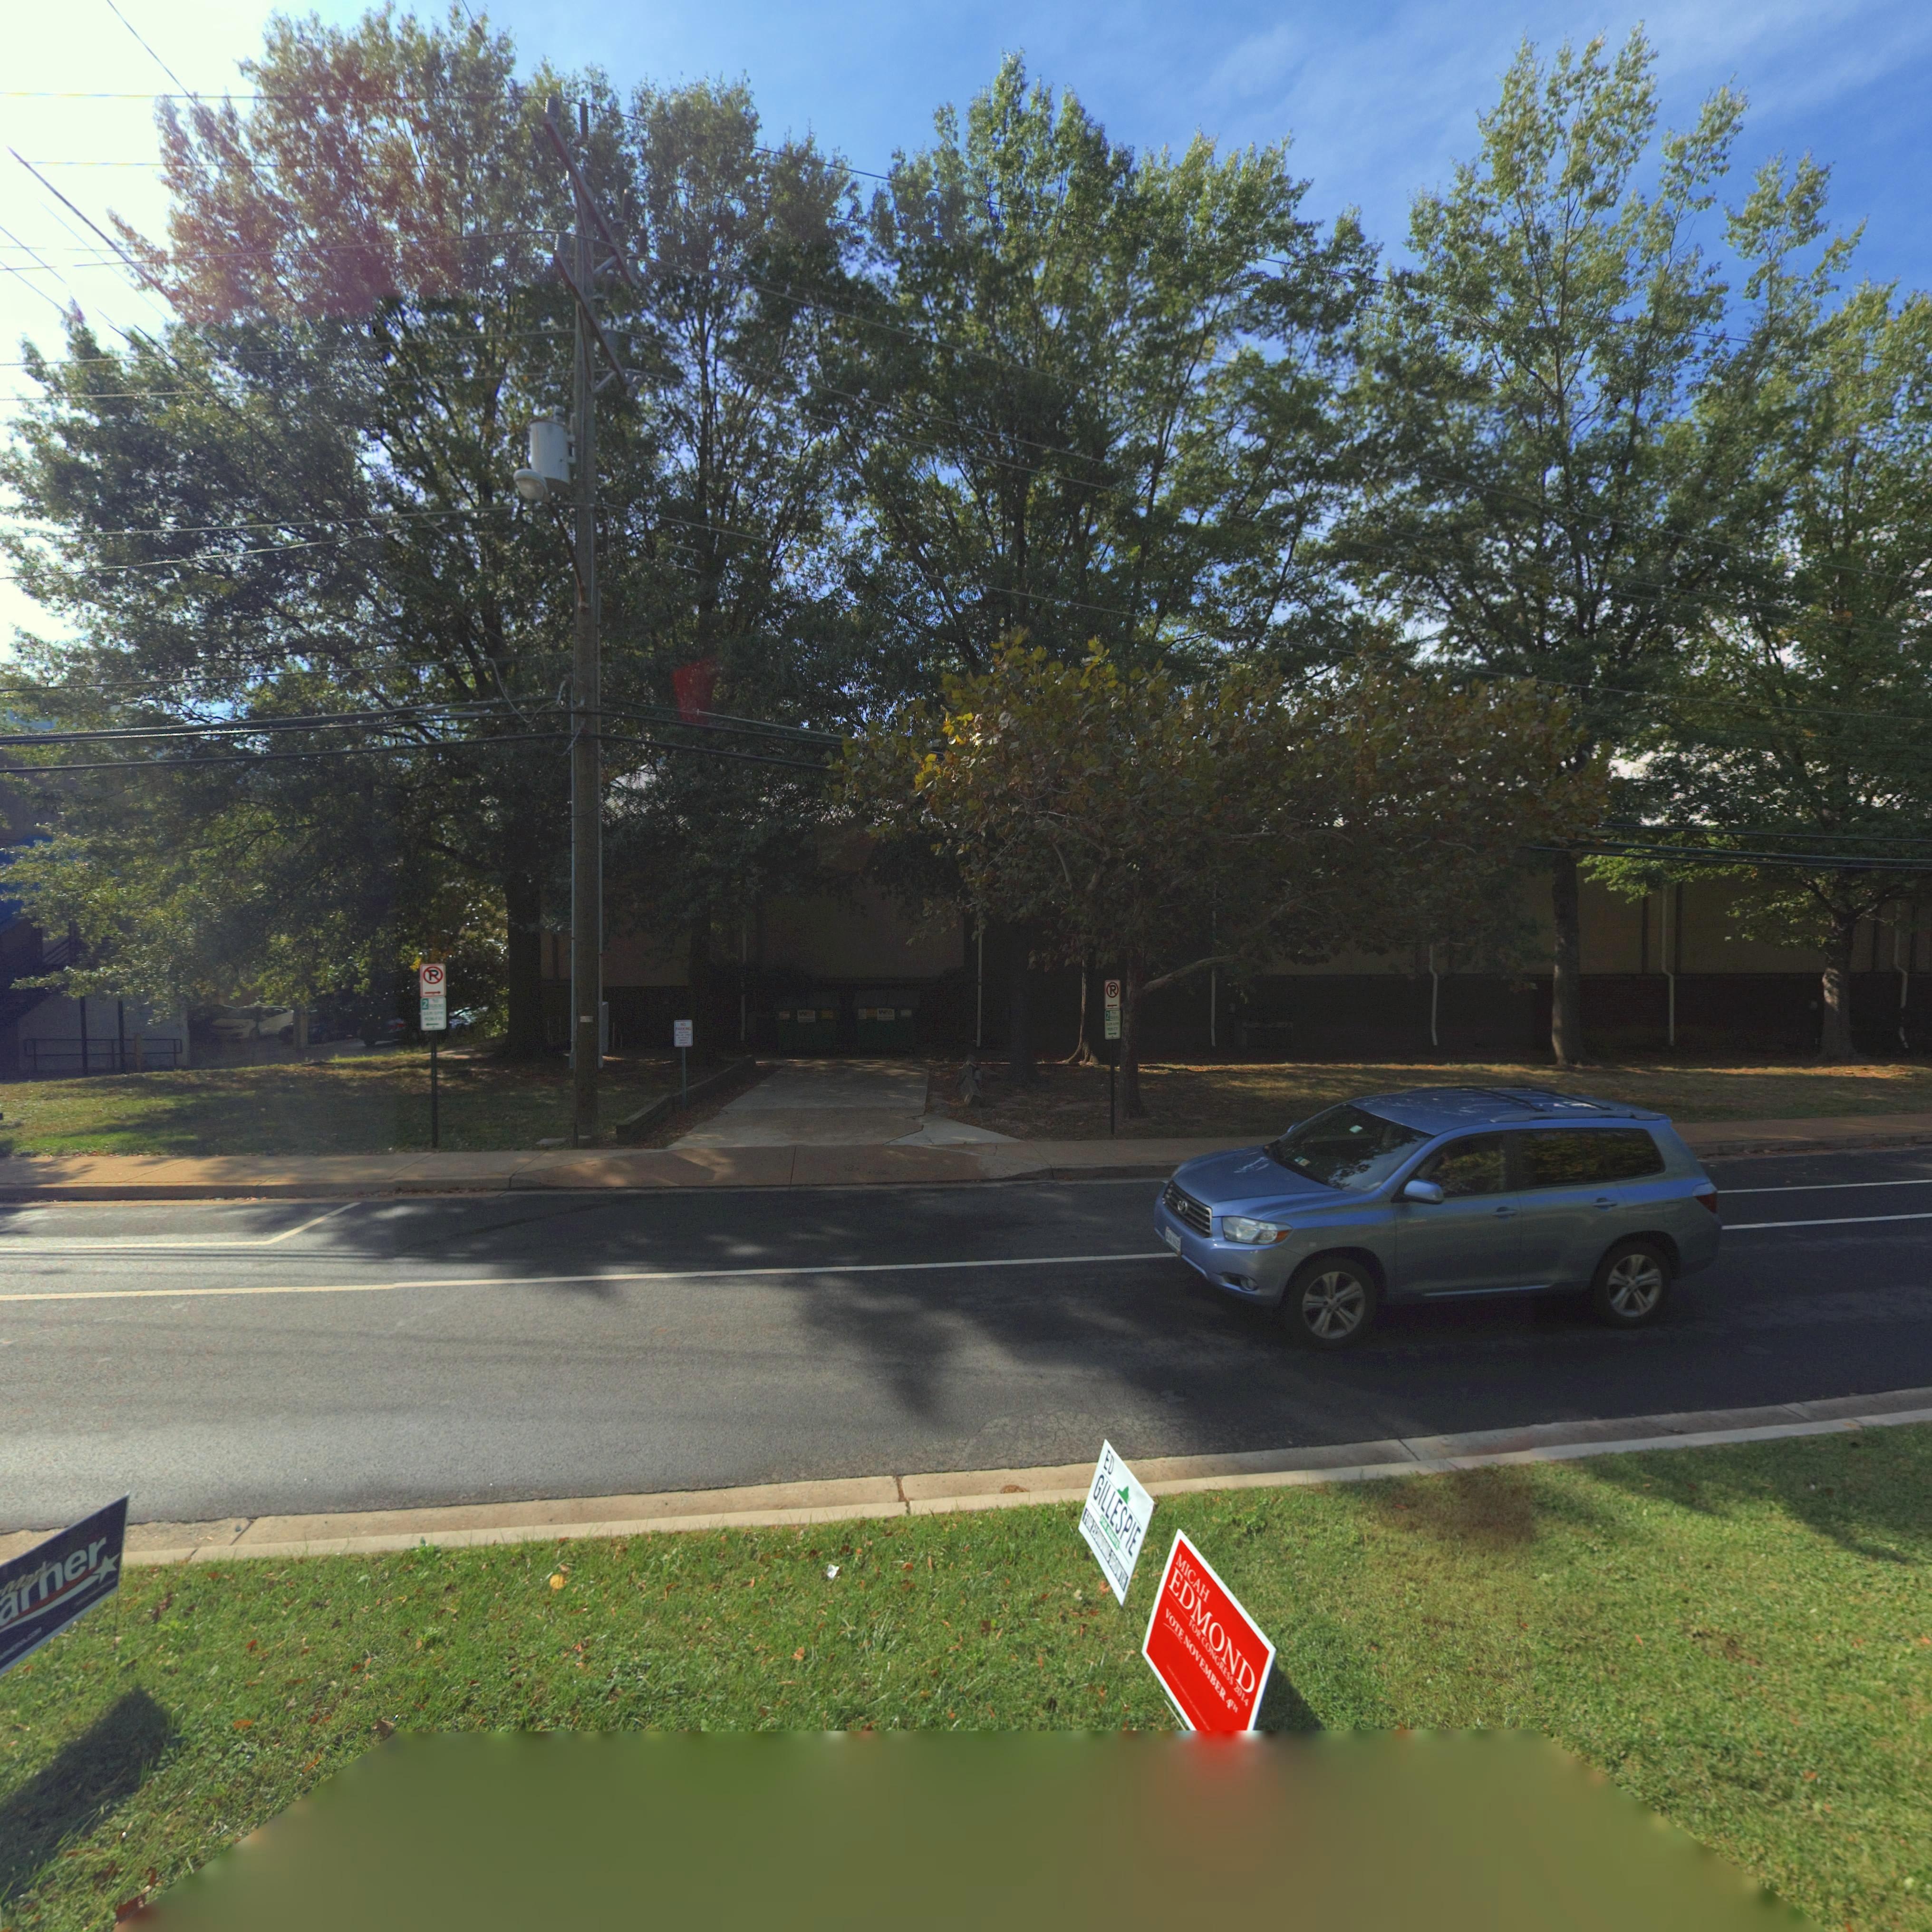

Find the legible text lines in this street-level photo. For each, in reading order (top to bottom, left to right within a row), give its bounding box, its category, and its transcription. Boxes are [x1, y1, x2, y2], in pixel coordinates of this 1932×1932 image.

[422, 1000, 428, 1009] None: 2
[675, 1026, 691, 1031] None: *ARK**G
[680, 1022, 686, 1027] None: NP
[798, 1011, 814, 1016] None: WM
[878, 1010, 893, 1014] None: WM
[1105, 1012, 1110, 1019] None: 2
[1102, 1449, 1115, 1476] None: ED
[1099, 1515, 1120, 1550] None: FOR SE*ATE
[1092, 1473, 1142, 1559] None: GILLESPIE
[1082, 1509, 1128, 1591] None: FOR EC*****C GROWTH
[0, 1535, 108, 1628] None: arner
[1175, 1552, 1210, 1604] None: MICAH
[1167, 1566, 1256, 1694] None: EDMOND
[1165, 1606, 1239, 1714] None: VOTE NOVEMBER 4TH
[1188, 1618, 1249, 1708] None: FOR CONGRESS 2014